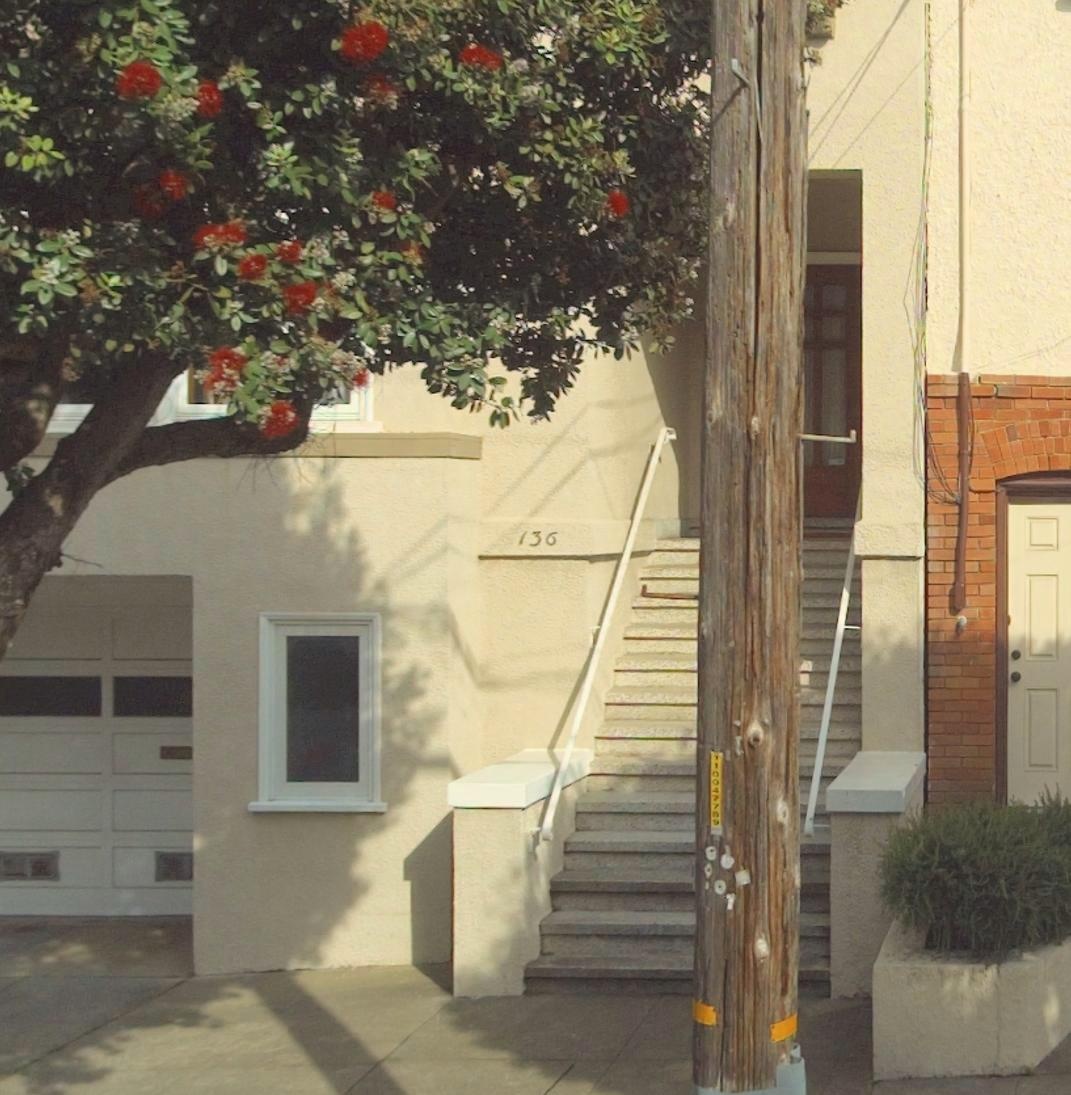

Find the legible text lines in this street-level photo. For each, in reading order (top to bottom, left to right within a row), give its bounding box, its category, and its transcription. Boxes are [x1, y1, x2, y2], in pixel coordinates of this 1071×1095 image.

[517, 530, 559, 547] StreetNumber: 136
[711, 753, 722, 826] None: 1100477**